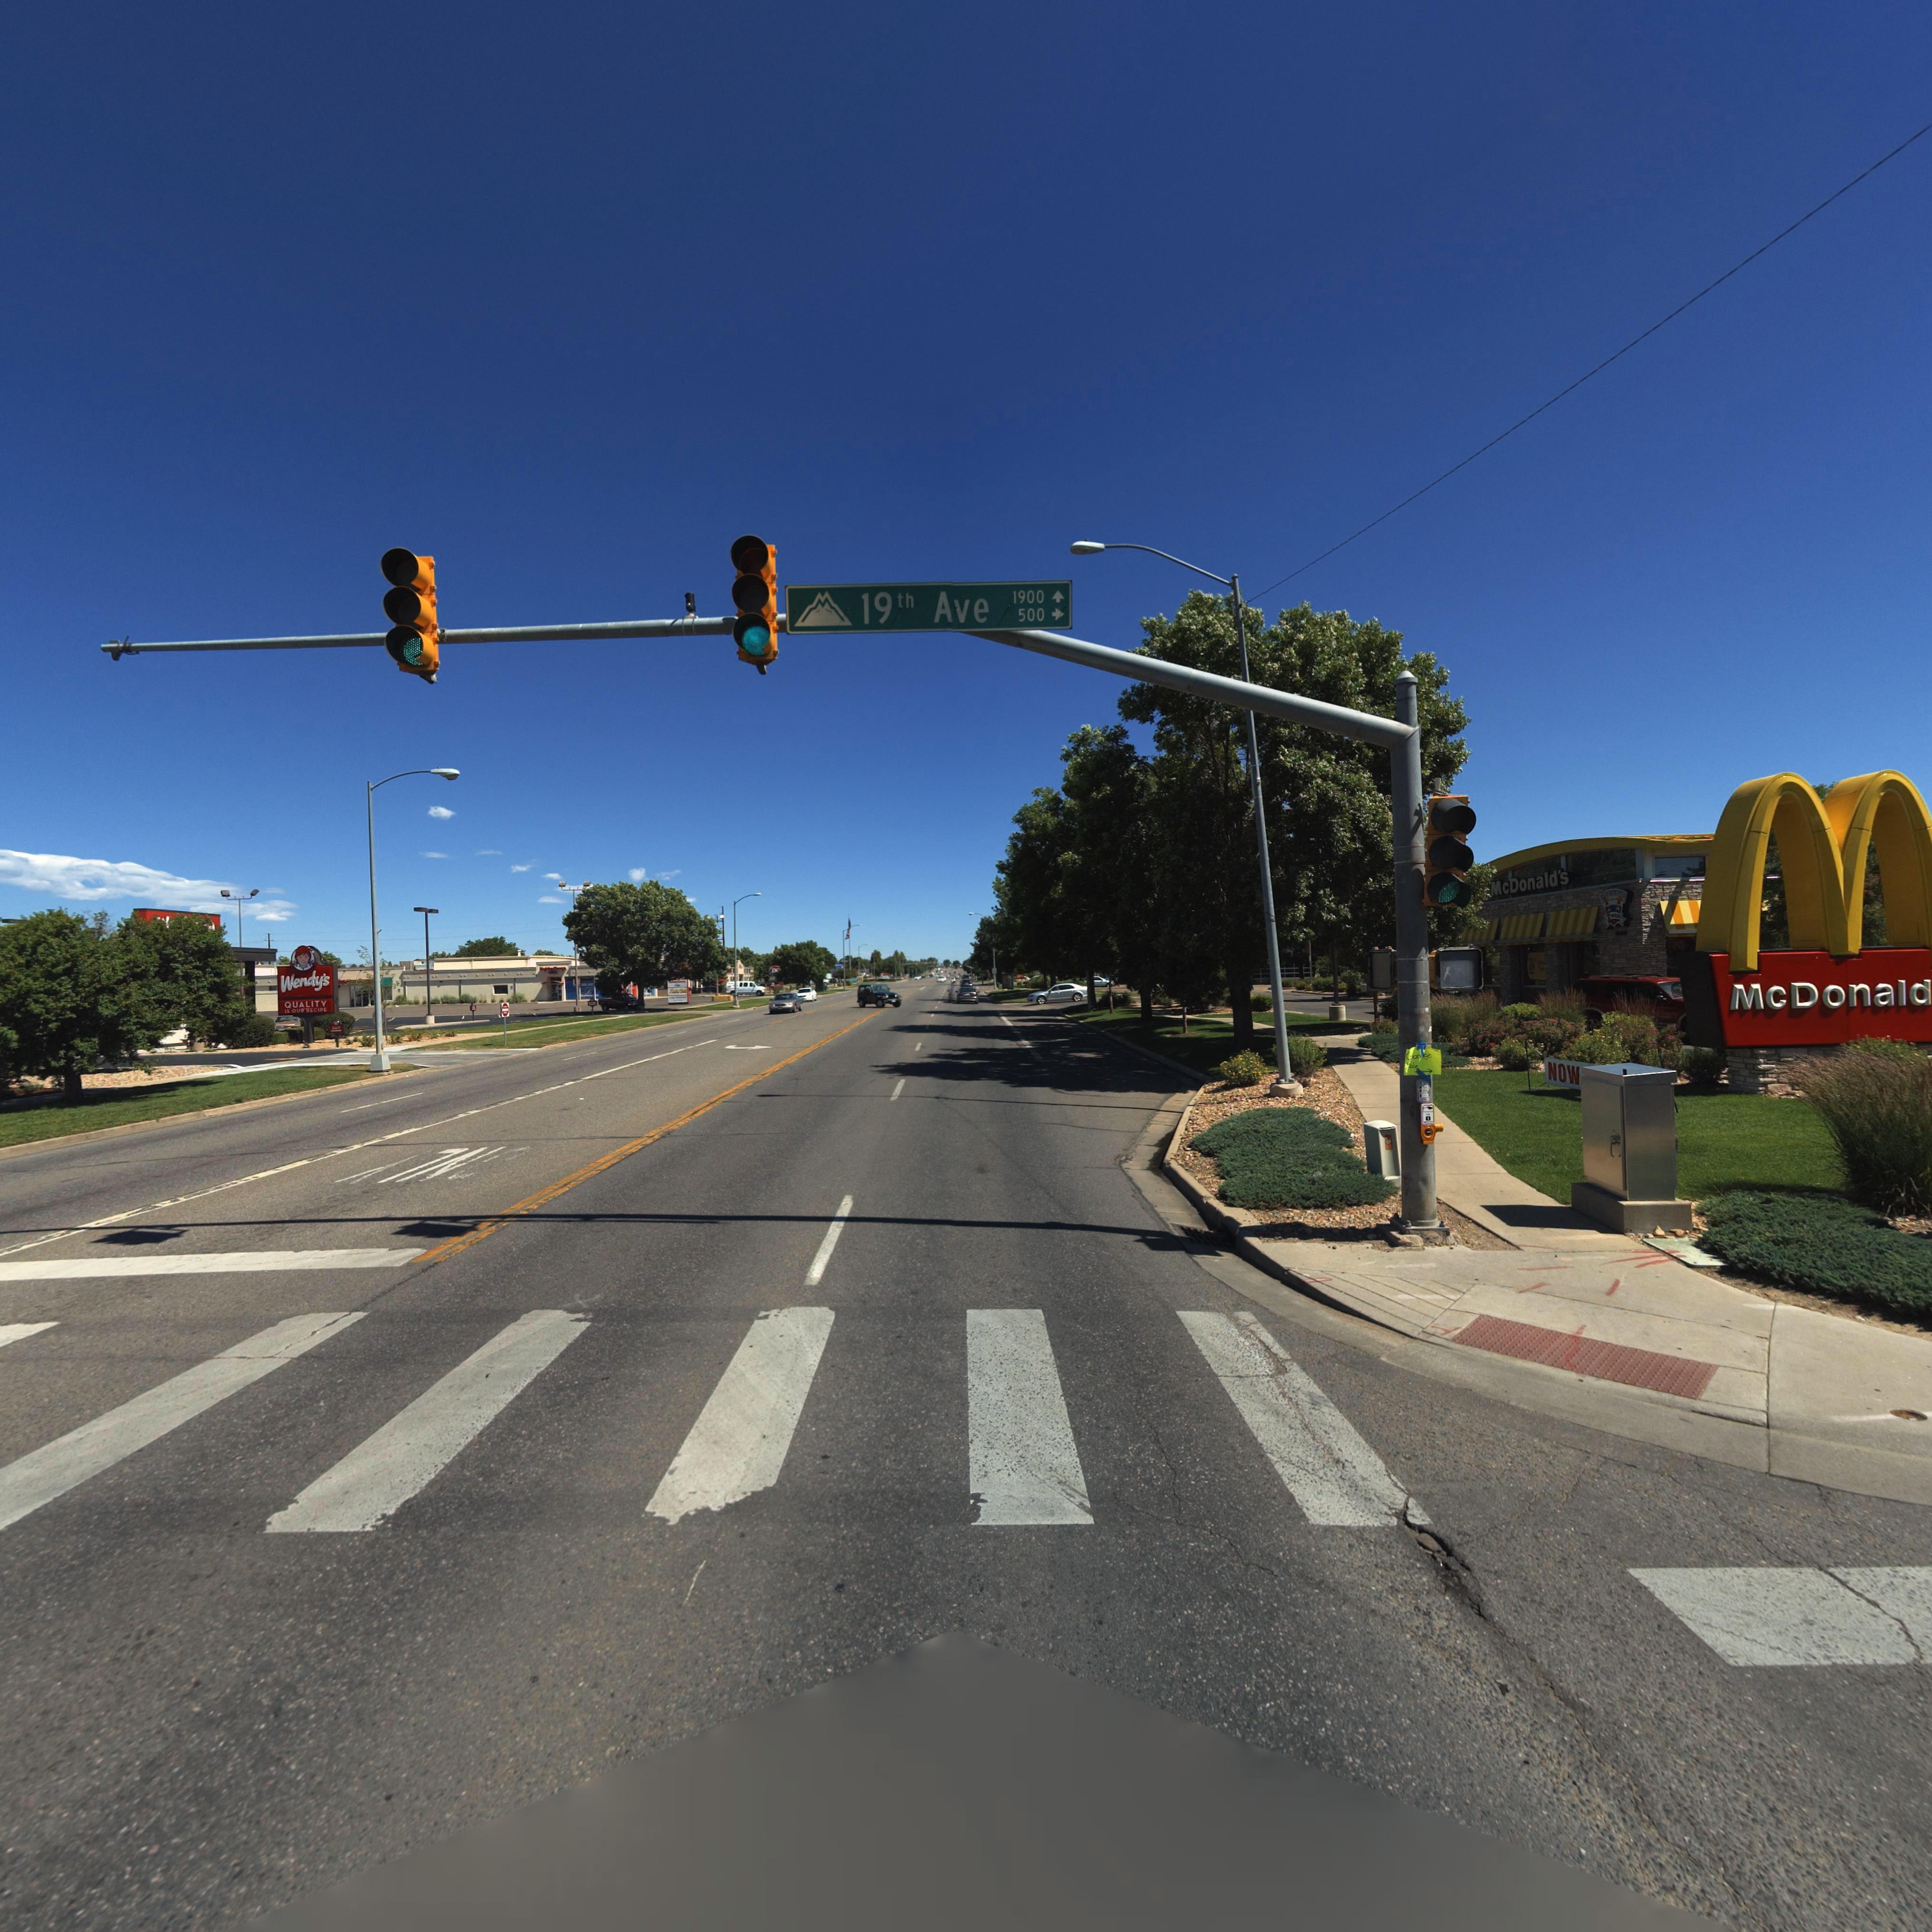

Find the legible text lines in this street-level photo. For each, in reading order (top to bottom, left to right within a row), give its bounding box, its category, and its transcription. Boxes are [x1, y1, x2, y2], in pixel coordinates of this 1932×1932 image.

[1012, 589, 1044, 605] StreetNumberRange: 1900
[860, 589, 990, 626] StreetName: 19th Ave
[1018, 607, 1065, 622] StreetNumberRange: 500->
[1490, 868, 1570, 896] BusinessName: McDonald's
[1615, 930, 1628, 936] StreetNumber: 1*00
[548, 970, 558, 974] BusinessName: USA
[771, 968, 776, 973] BusinessName: D
[280, 970, 330, 993] BusinessName: Wendy's
[1729, 978, 1931, 1011] BusinessName: McDonald